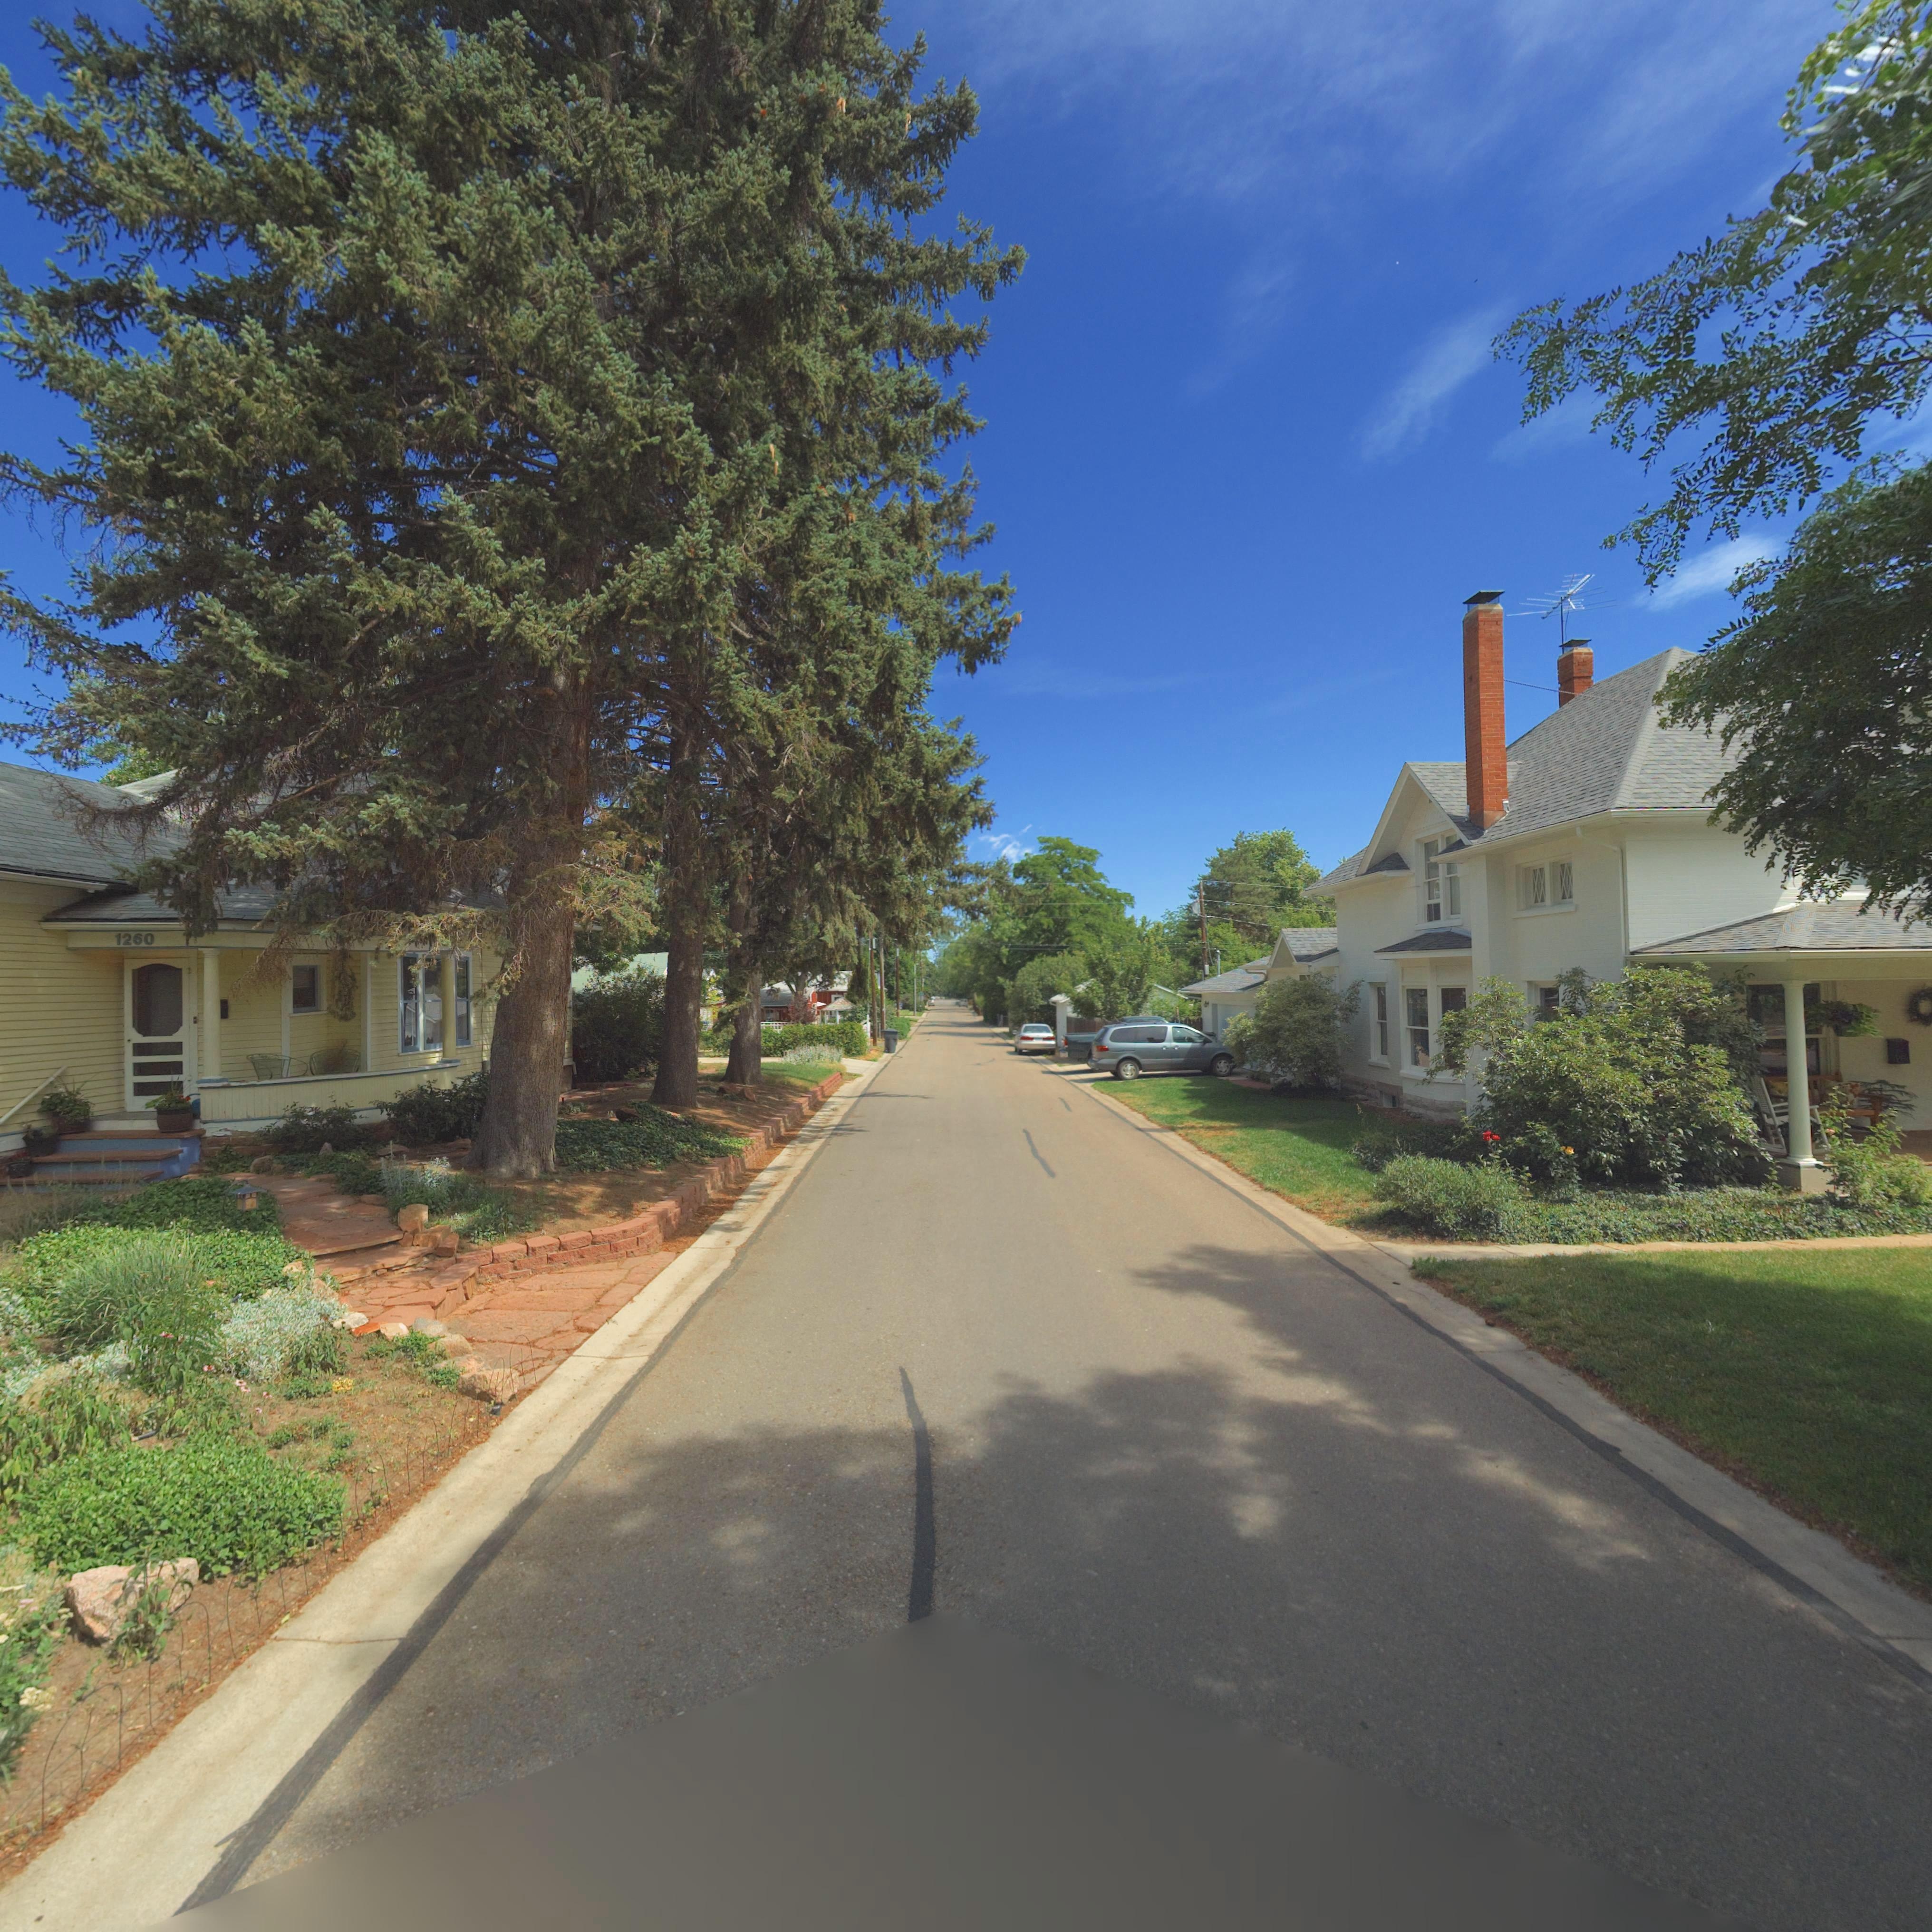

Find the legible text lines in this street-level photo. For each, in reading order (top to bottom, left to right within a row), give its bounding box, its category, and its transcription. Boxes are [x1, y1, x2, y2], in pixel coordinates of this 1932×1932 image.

[114, 932, 155, 946] StreetNumber: 1260